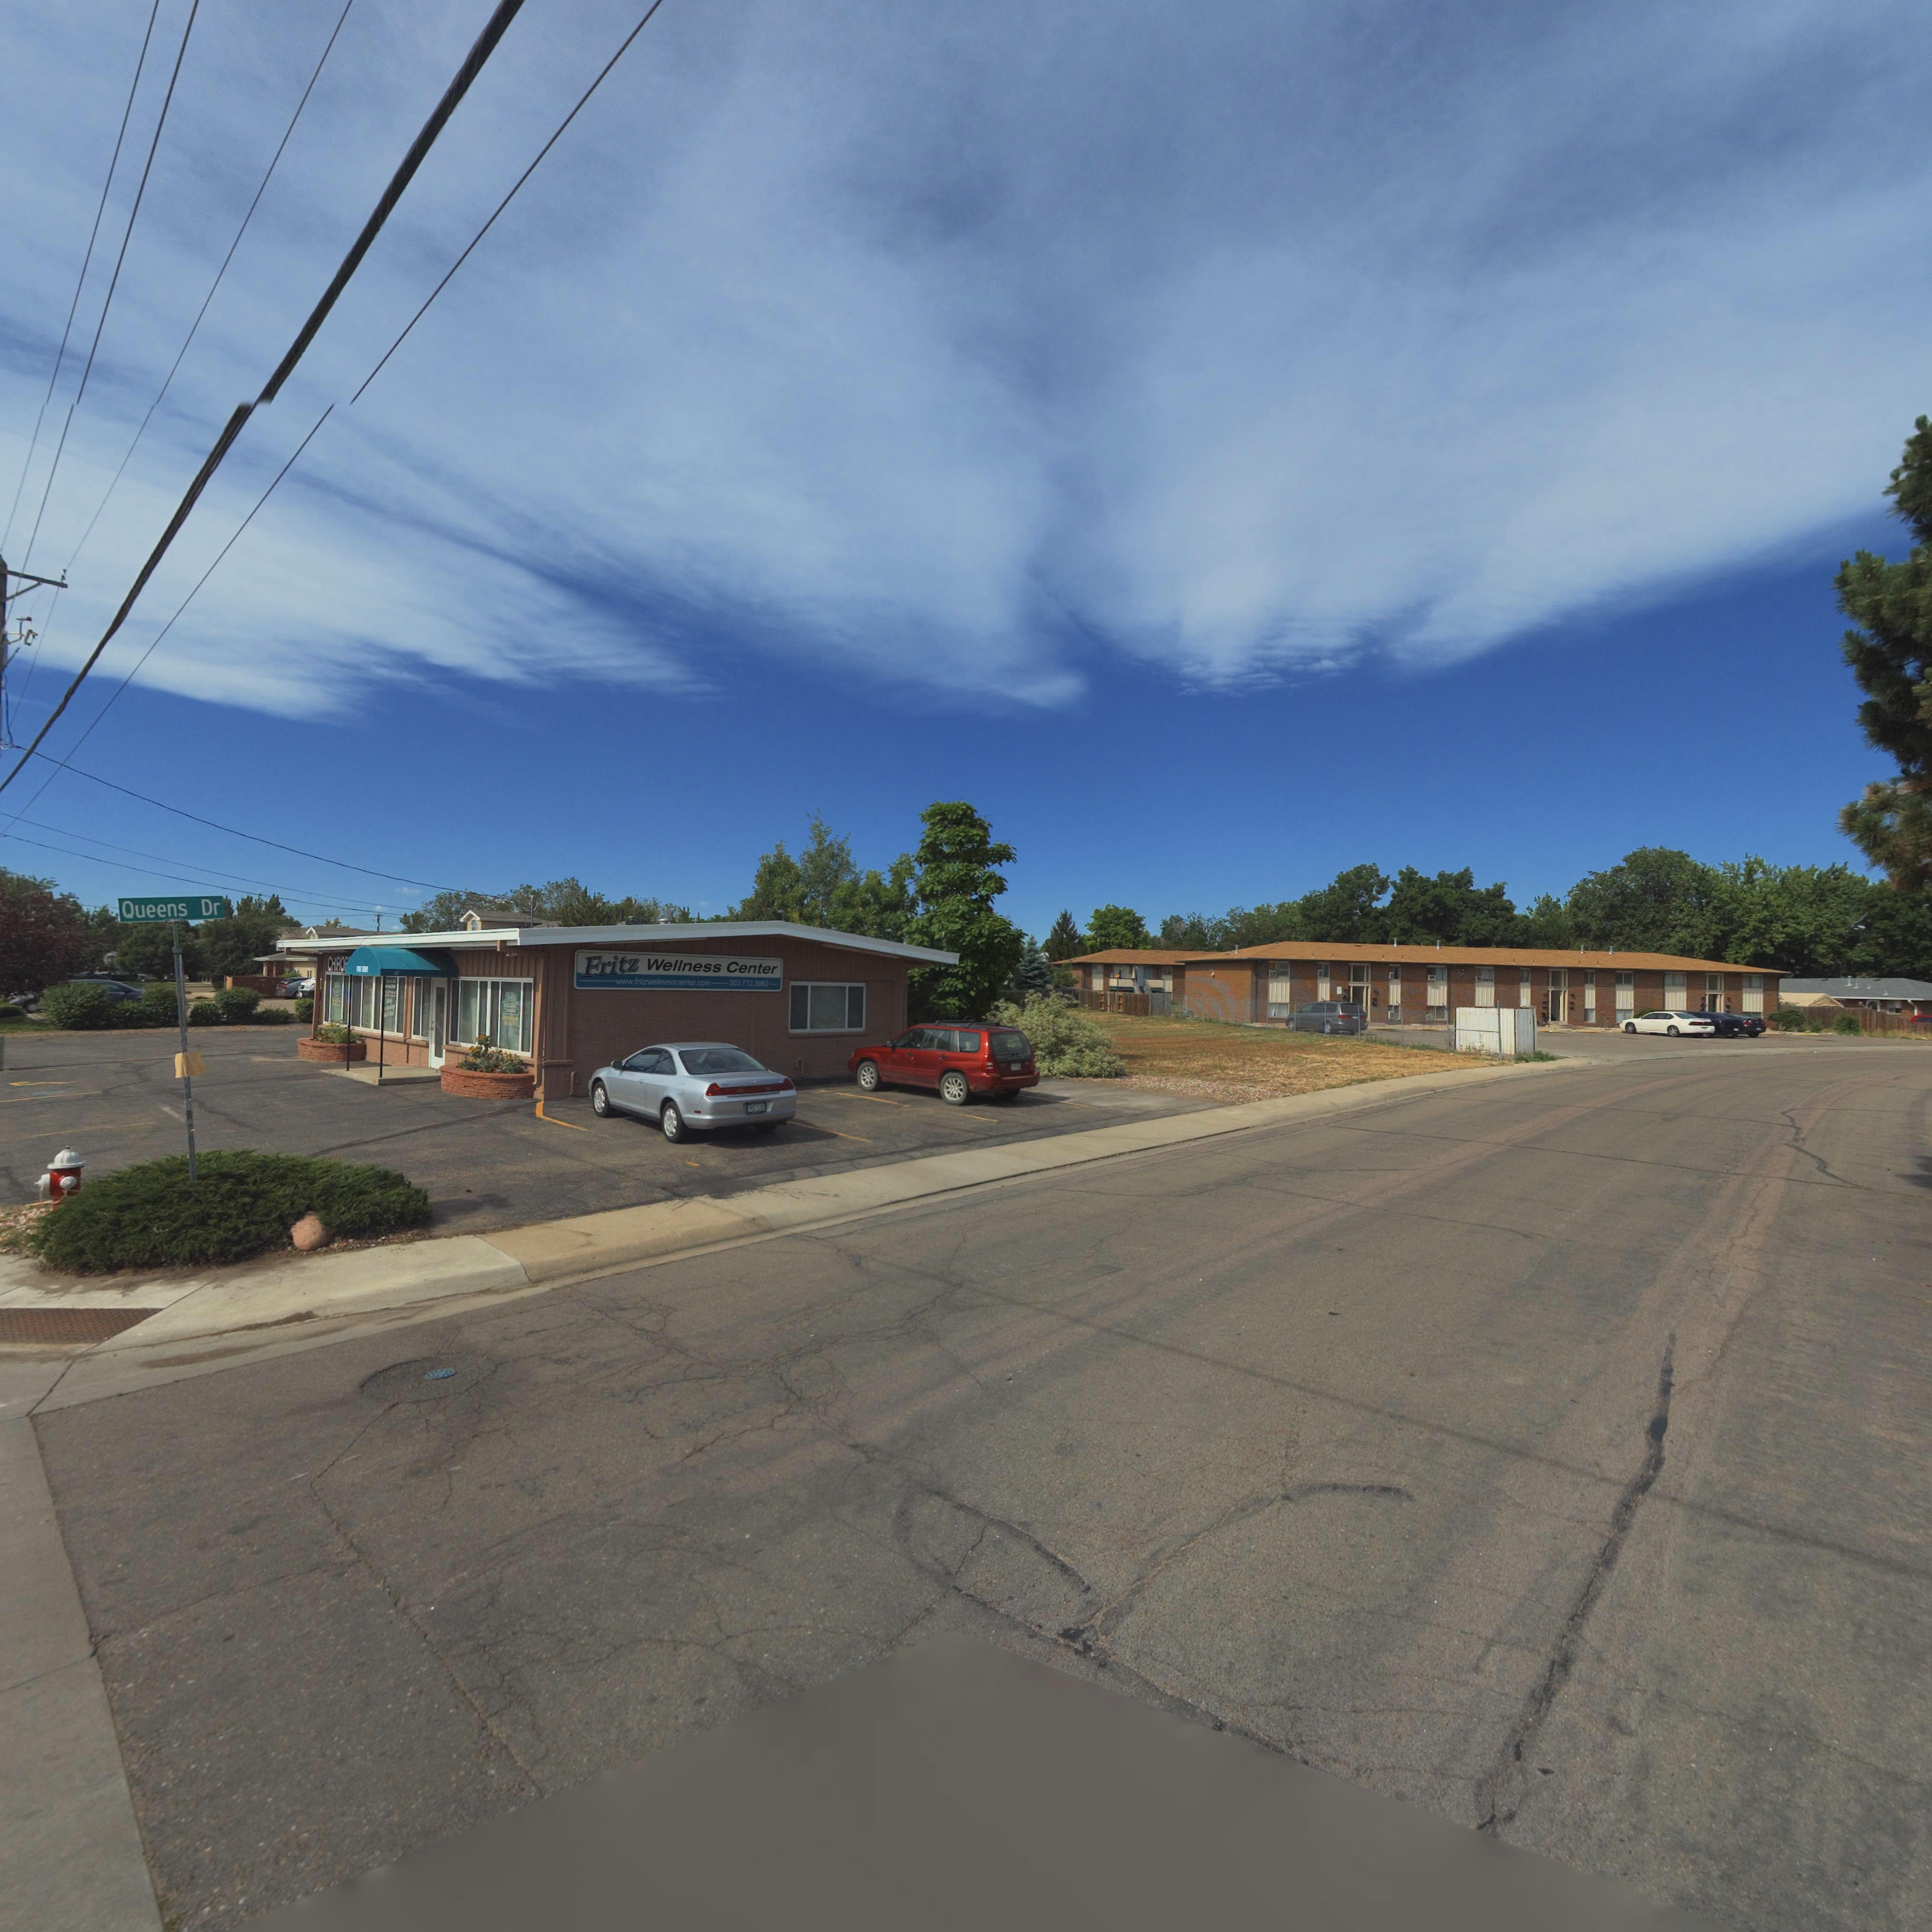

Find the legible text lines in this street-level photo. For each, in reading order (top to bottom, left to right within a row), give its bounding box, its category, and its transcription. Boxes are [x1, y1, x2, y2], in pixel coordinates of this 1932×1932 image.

[120, 898, 221, 920] StreetName: Queens Dr
[580, 955, 641, 978] BusinessName: Fritz
[646, 957, 779, 975] BusinessName: Wellness Center